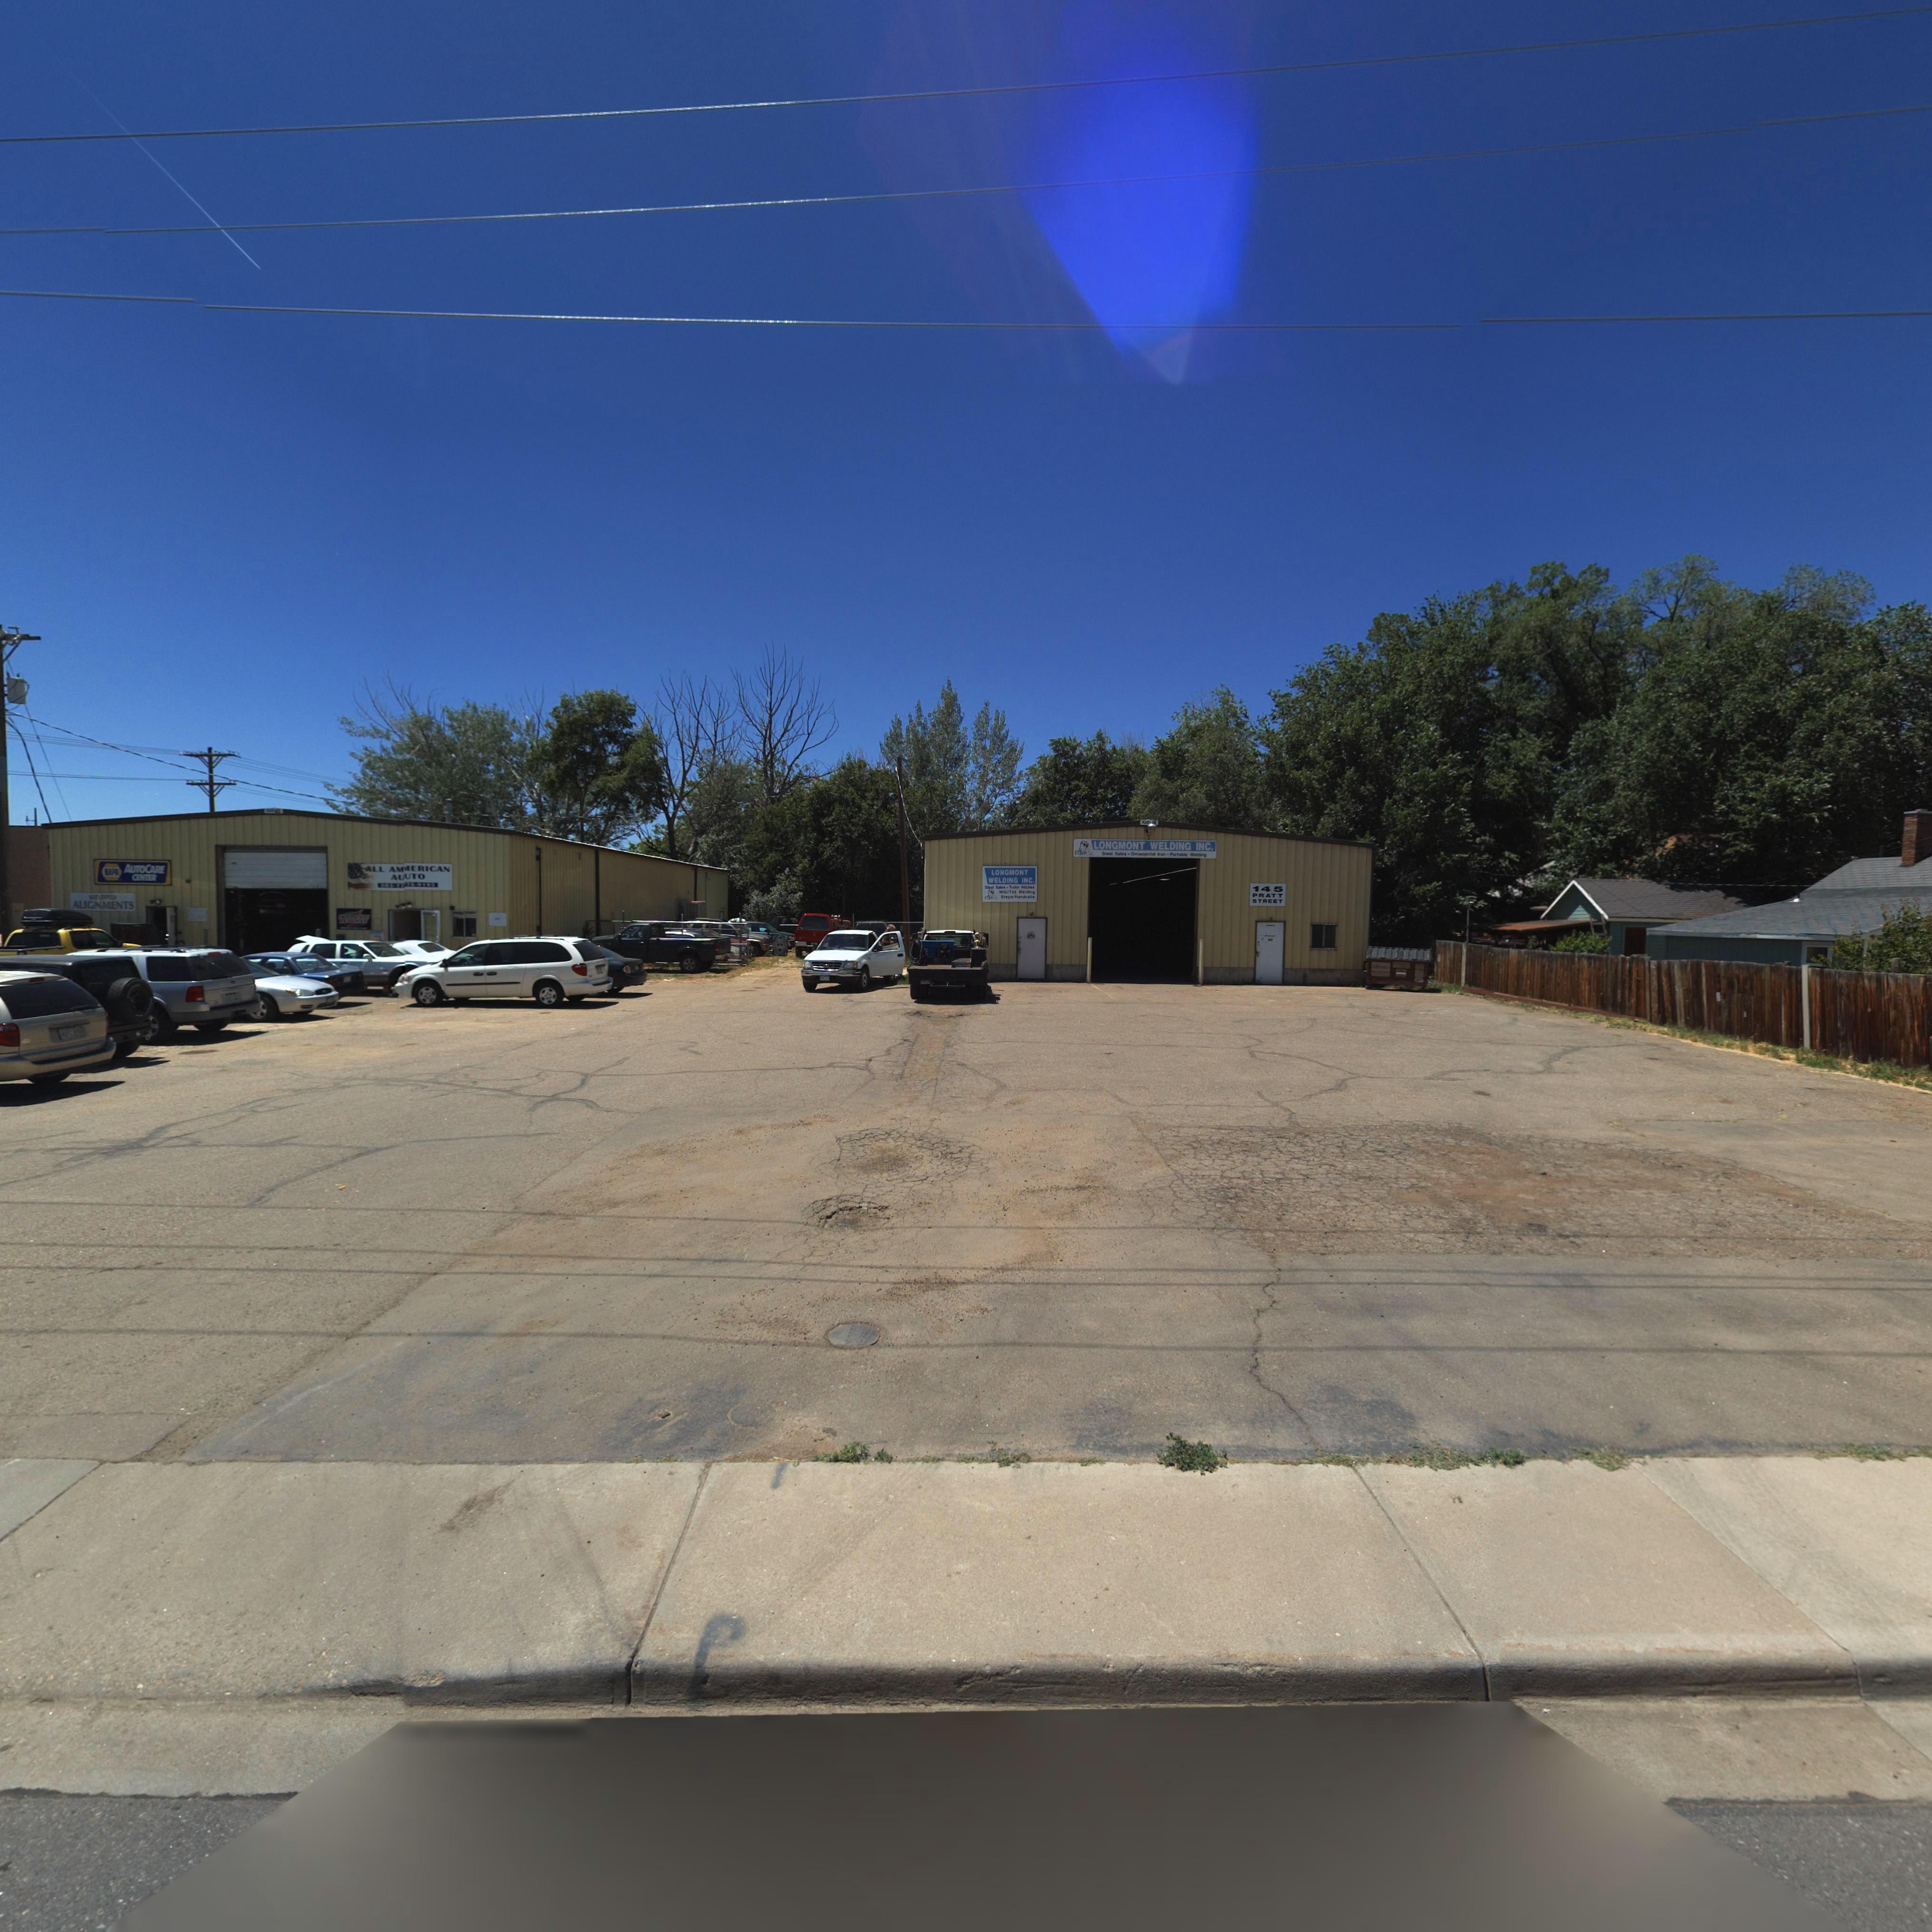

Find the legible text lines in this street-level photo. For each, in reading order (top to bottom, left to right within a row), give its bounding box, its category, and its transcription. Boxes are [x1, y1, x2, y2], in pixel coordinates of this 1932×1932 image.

[1093, 840, 1213, 850] BusinessName: LONGMONT WELDING INC.
[103, 868, 120, 877] BusinessName: NAPA
[123, 863, 165, 874] BusinessName: AUTOCARE
[365, 865, 450, 873] BusinessName: ALL AM*ERICAN
[991, 869, 1029, 876] BusinessName: LONGMONT
[131, 874, 157, 881] BusinessName: CENTER
[389, 872, 426, 881] BusinessName: AUUTO
[987, 877, 1035, 883] BusinessName: WELDING INC.
[1252, 885, 1284, 892] StreetNumber: 145
[1252, 893, 1284, 898] BusinessName: PRATT
[1252, 898, 1283, 904] StreetName: STREET